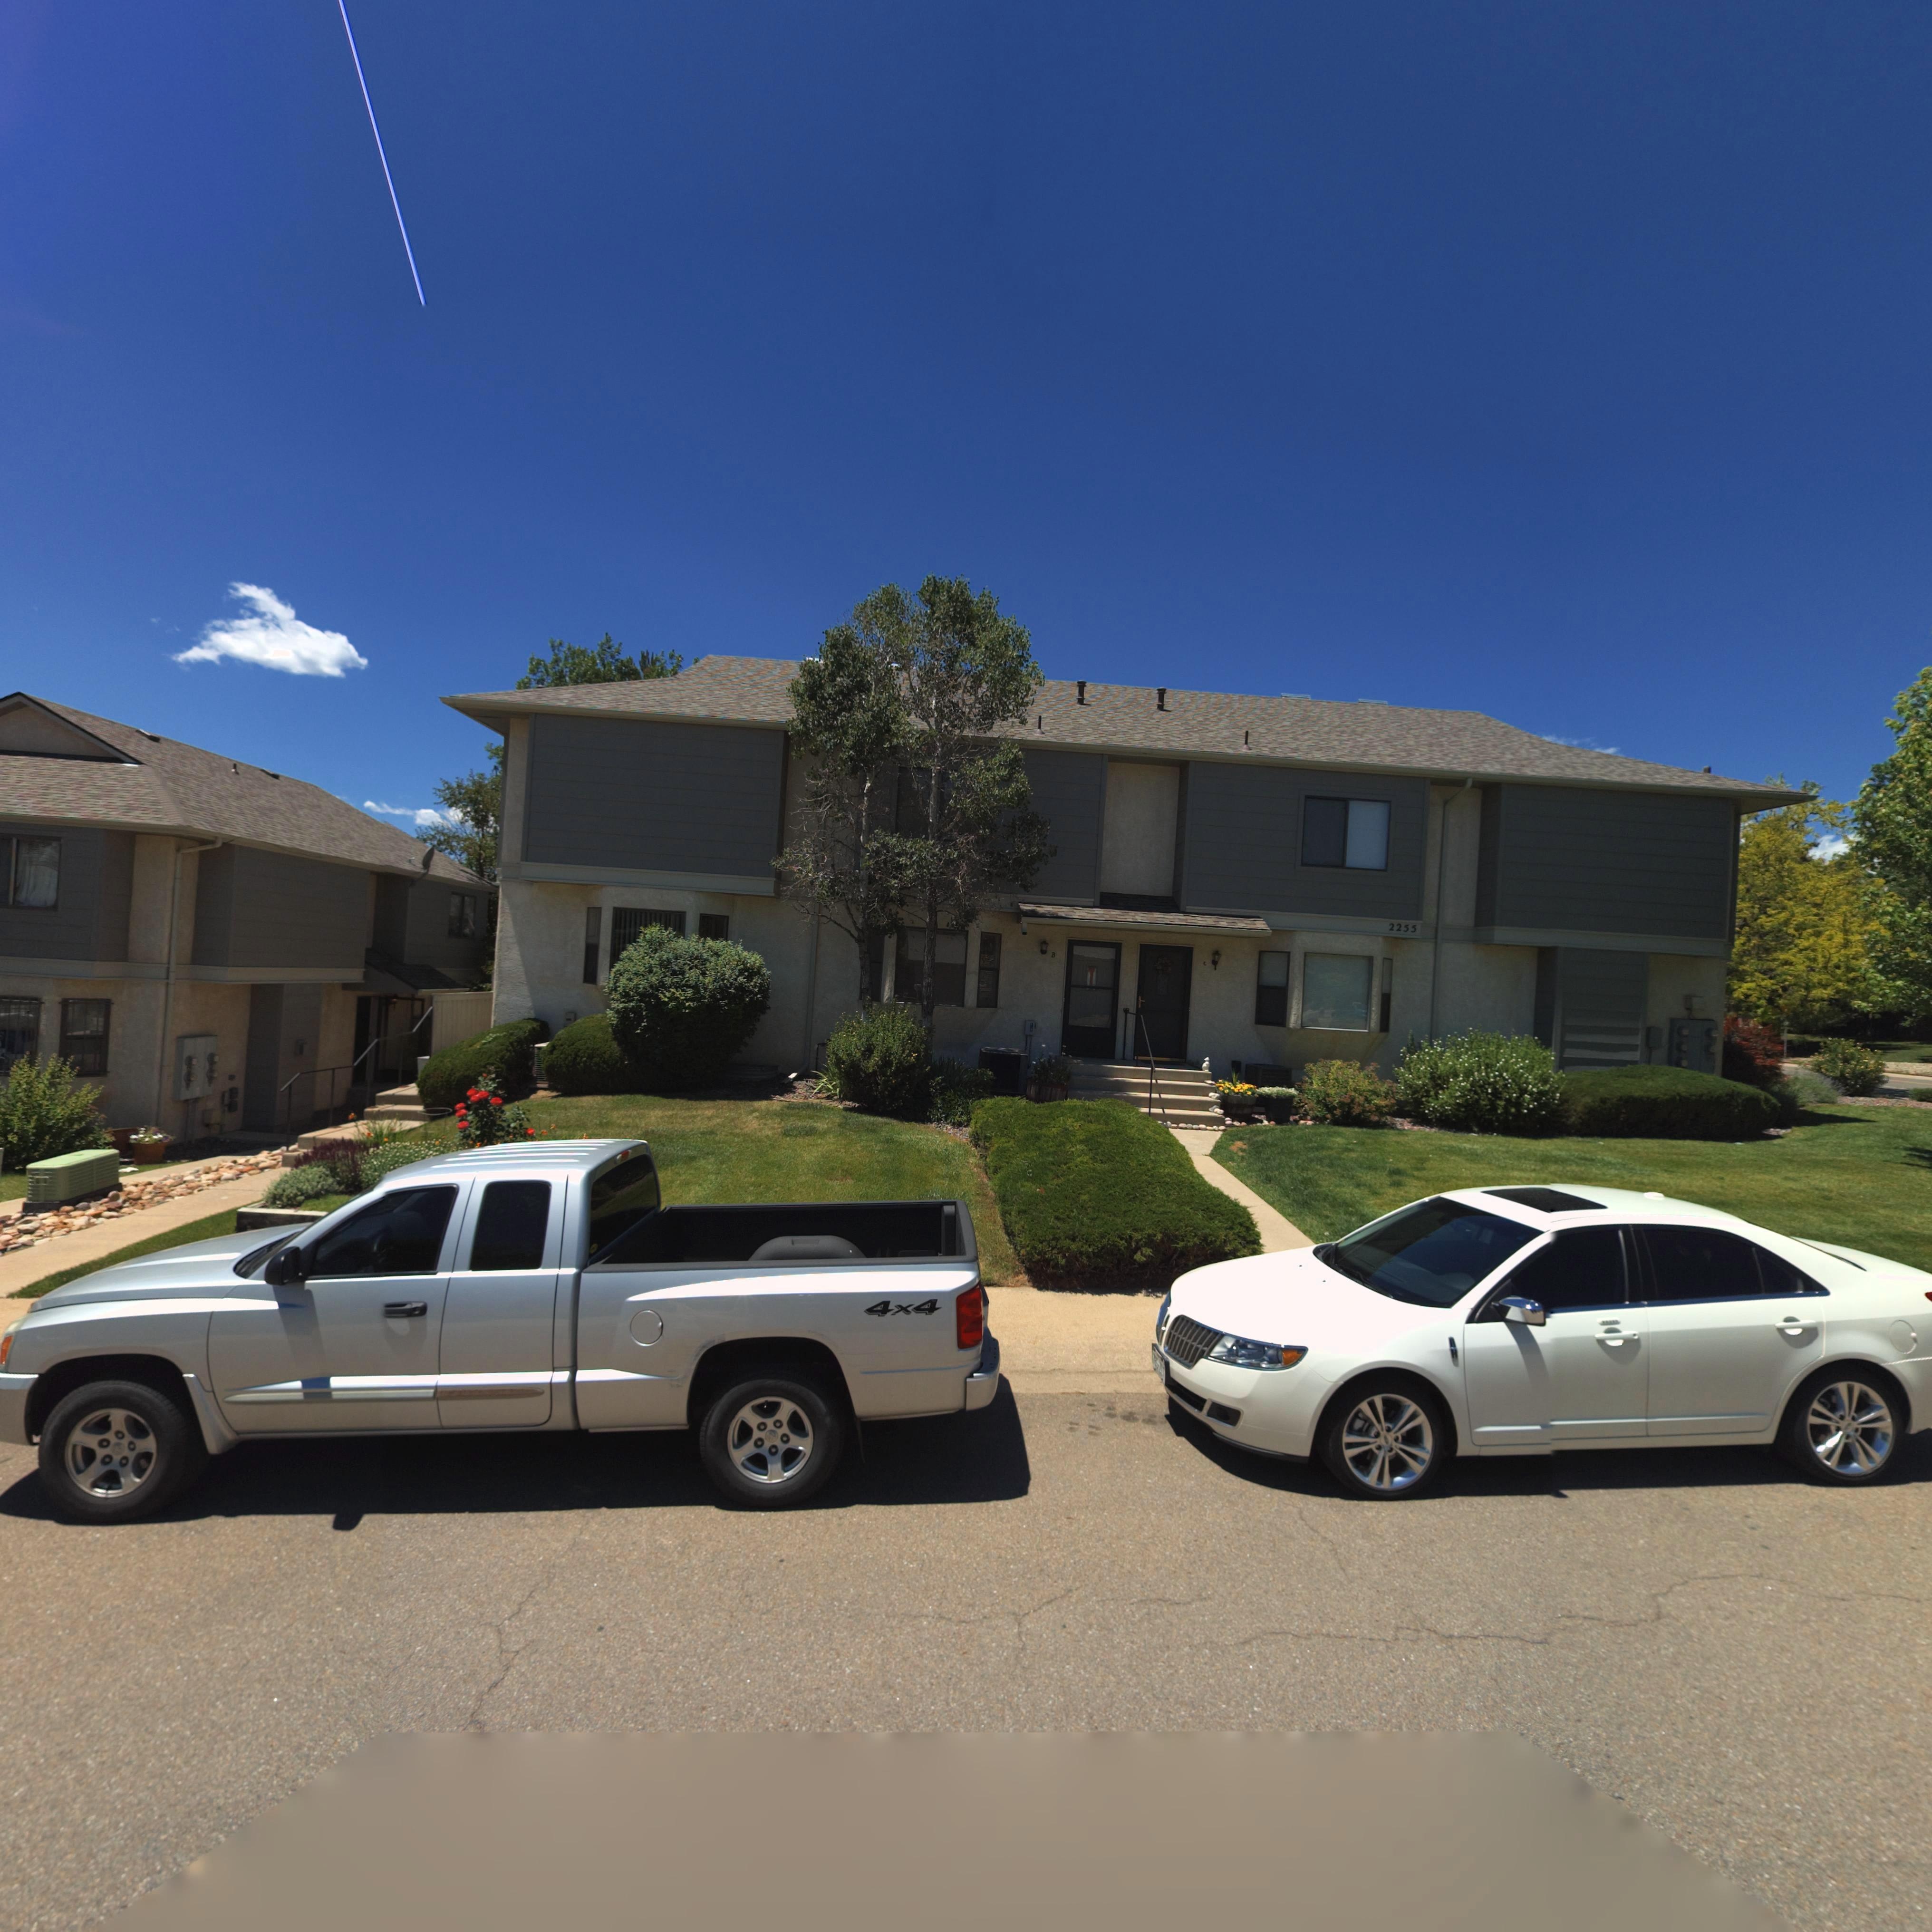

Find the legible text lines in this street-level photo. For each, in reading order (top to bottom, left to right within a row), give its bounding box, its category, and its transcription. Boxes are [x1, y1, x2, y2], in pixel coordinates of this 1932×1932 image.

[1388, 922, 1418, 933] StreetNumber: 2255